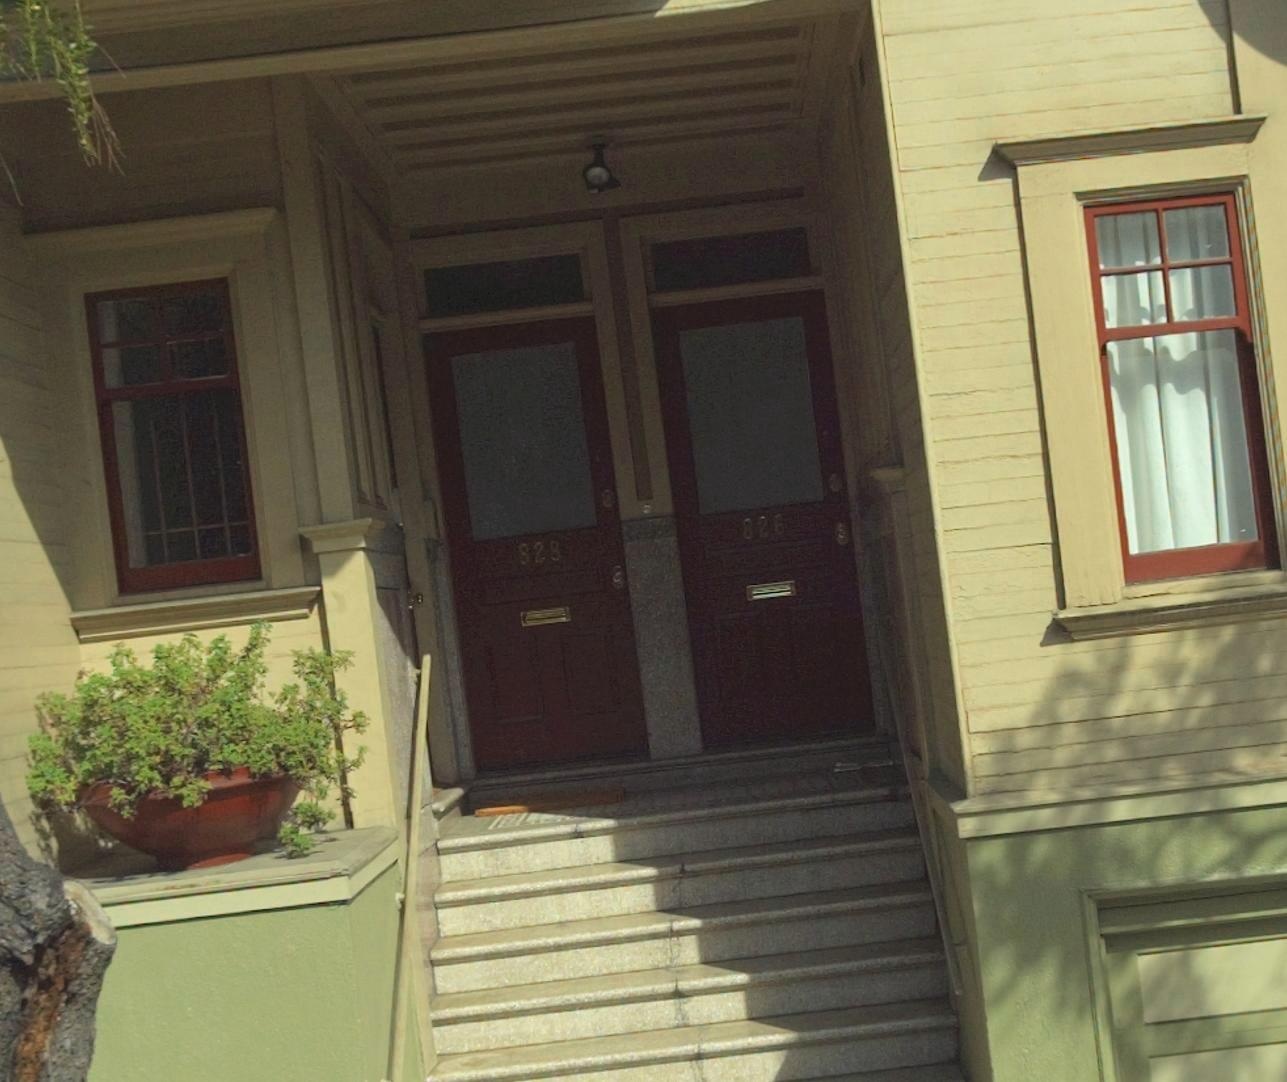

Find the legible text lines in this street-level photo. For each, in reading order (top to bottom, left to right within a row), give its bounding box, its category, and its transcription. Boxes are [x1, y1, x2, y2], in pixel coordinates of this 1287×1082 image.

[741, 512, 789, 541] StreetNumber: 826
[518, 538, 562, 567] StreetNumber: 828